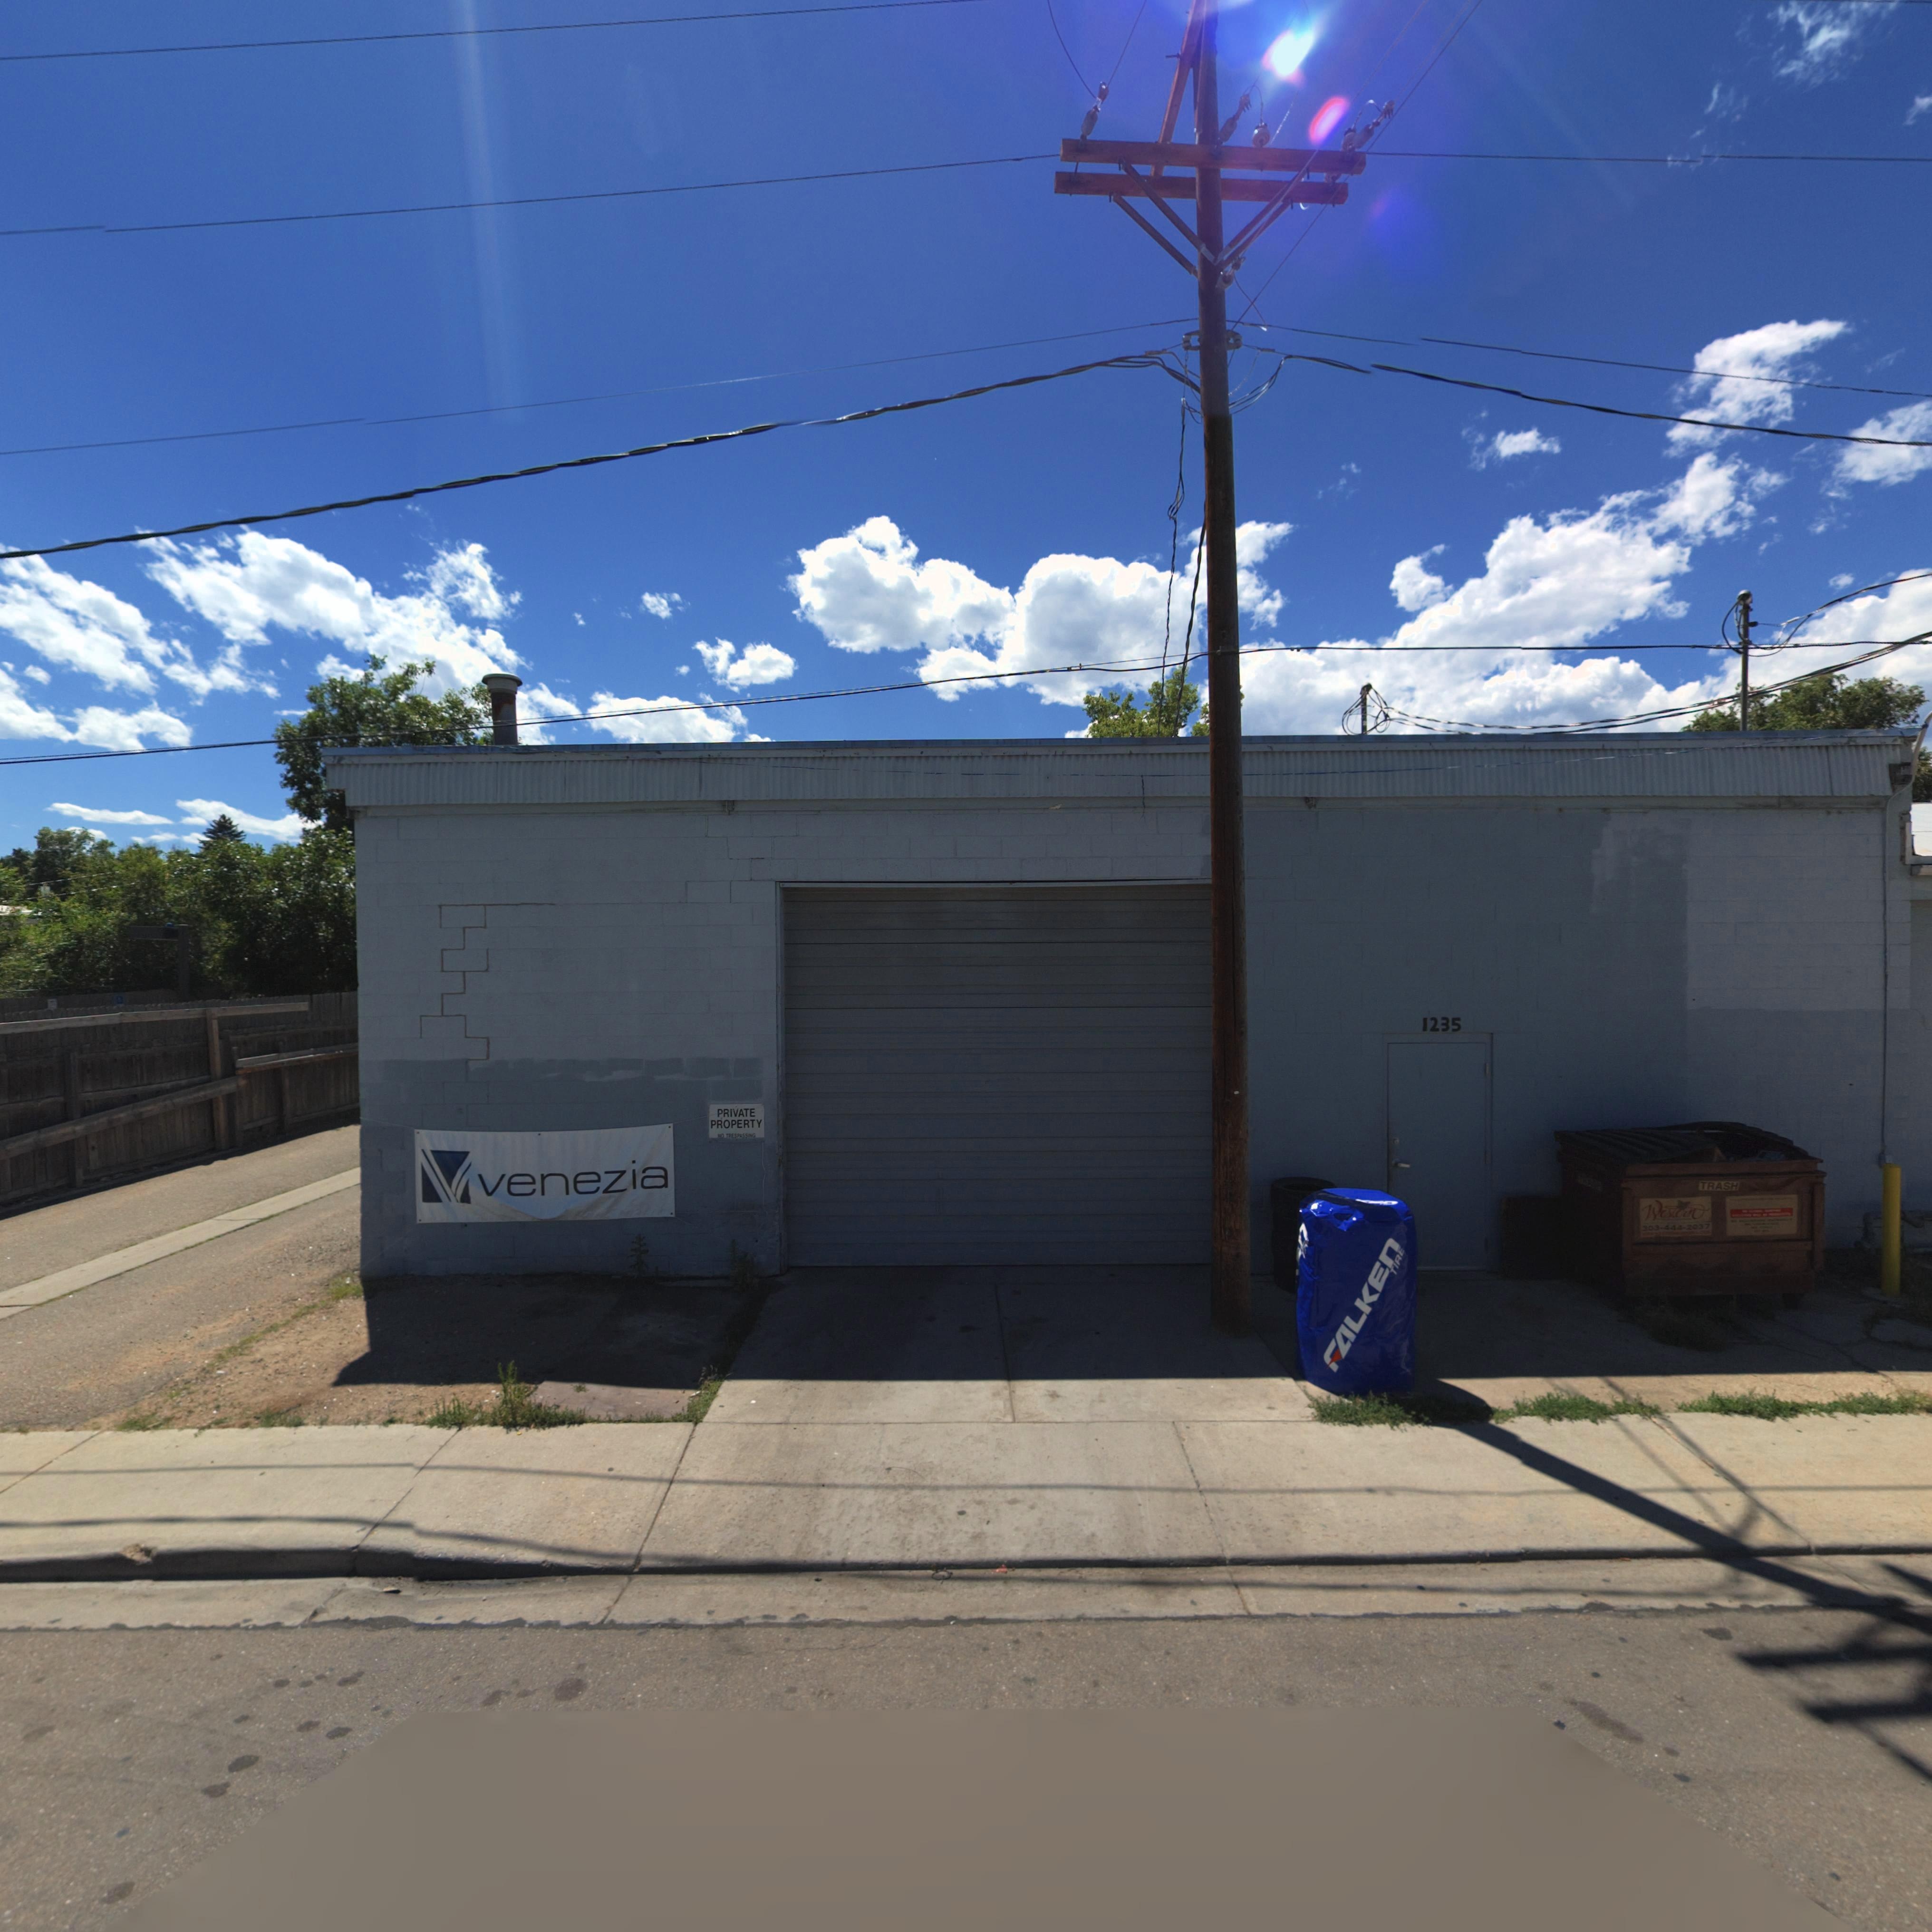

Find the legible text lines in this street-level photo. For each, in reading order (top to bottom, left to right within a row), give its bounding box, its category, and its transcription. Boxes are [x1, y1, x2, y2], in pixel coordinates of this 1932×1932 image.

[1421, 1016, 1462, 1033] StreetNumber: 1235
[477, 1159, 668, 1197] StreetNumber: 1235